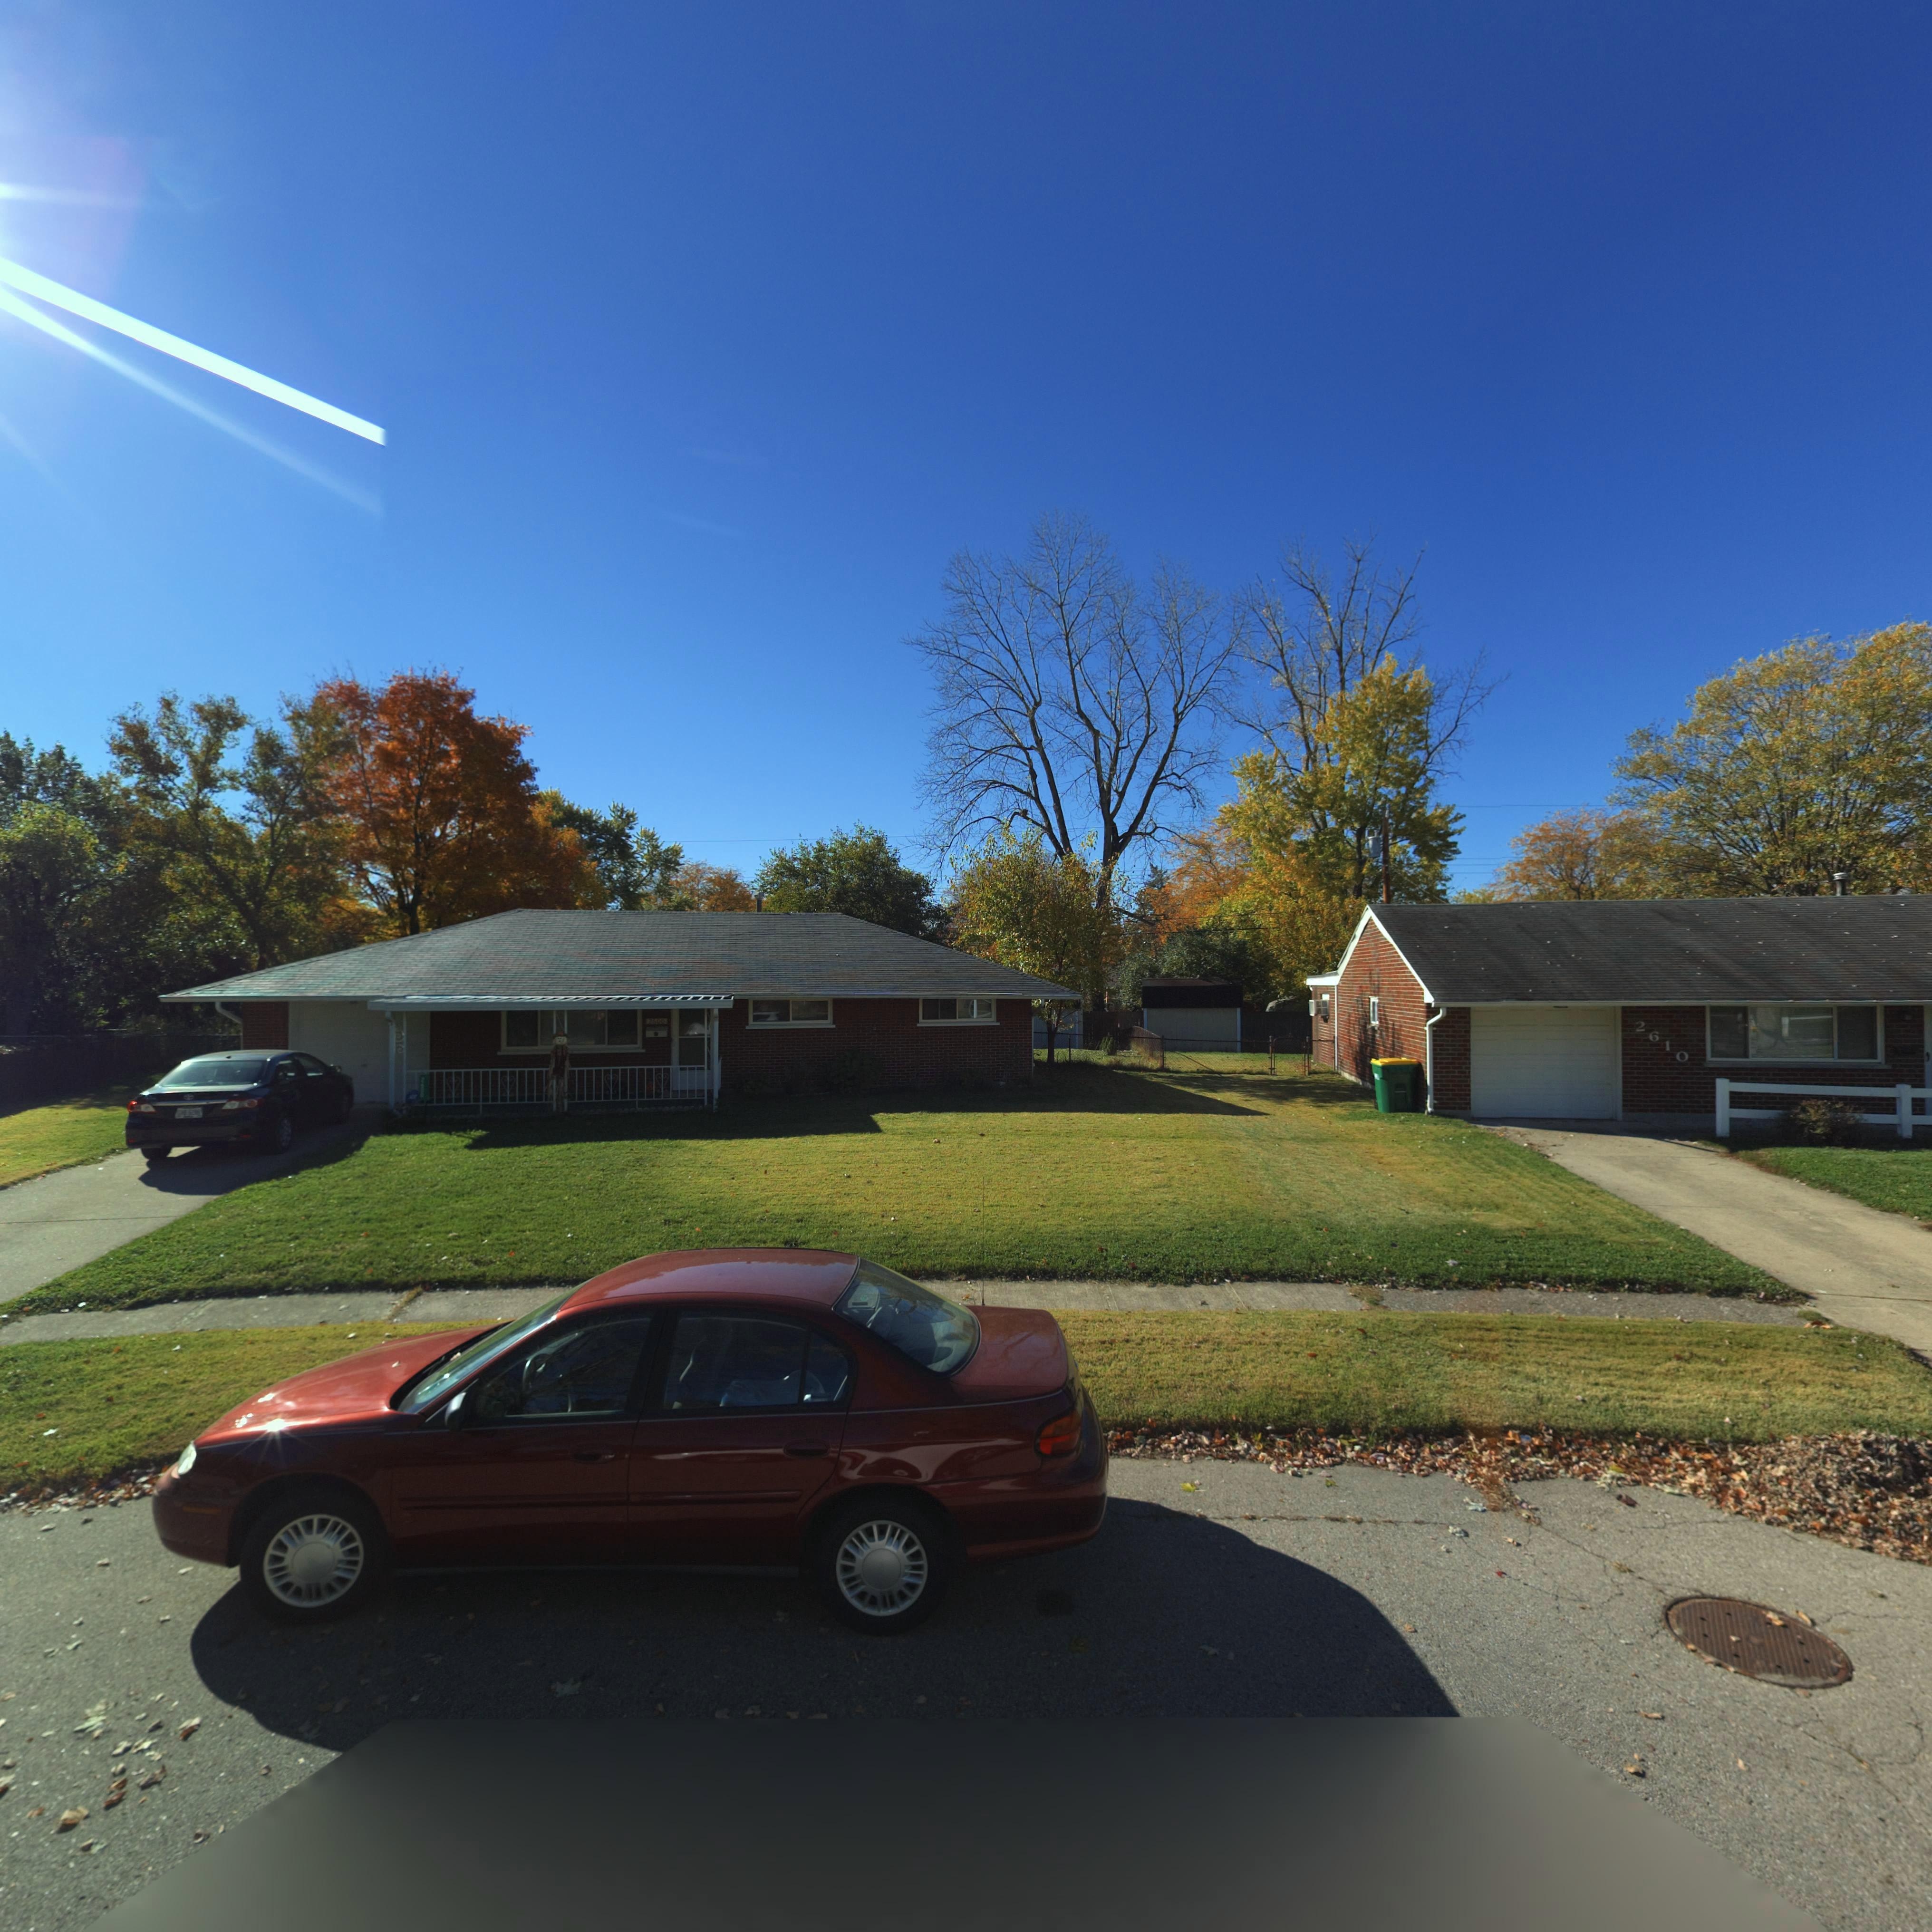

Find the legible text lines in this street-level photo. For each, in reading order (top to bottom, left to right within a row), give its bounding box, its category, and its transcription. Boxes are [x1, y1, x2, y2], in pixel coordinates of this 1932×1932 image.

[647, 1017, 666, 1025] StreetNumber: 2600
[1634, 1020, 1690, 1064] StreetNumber: 2610